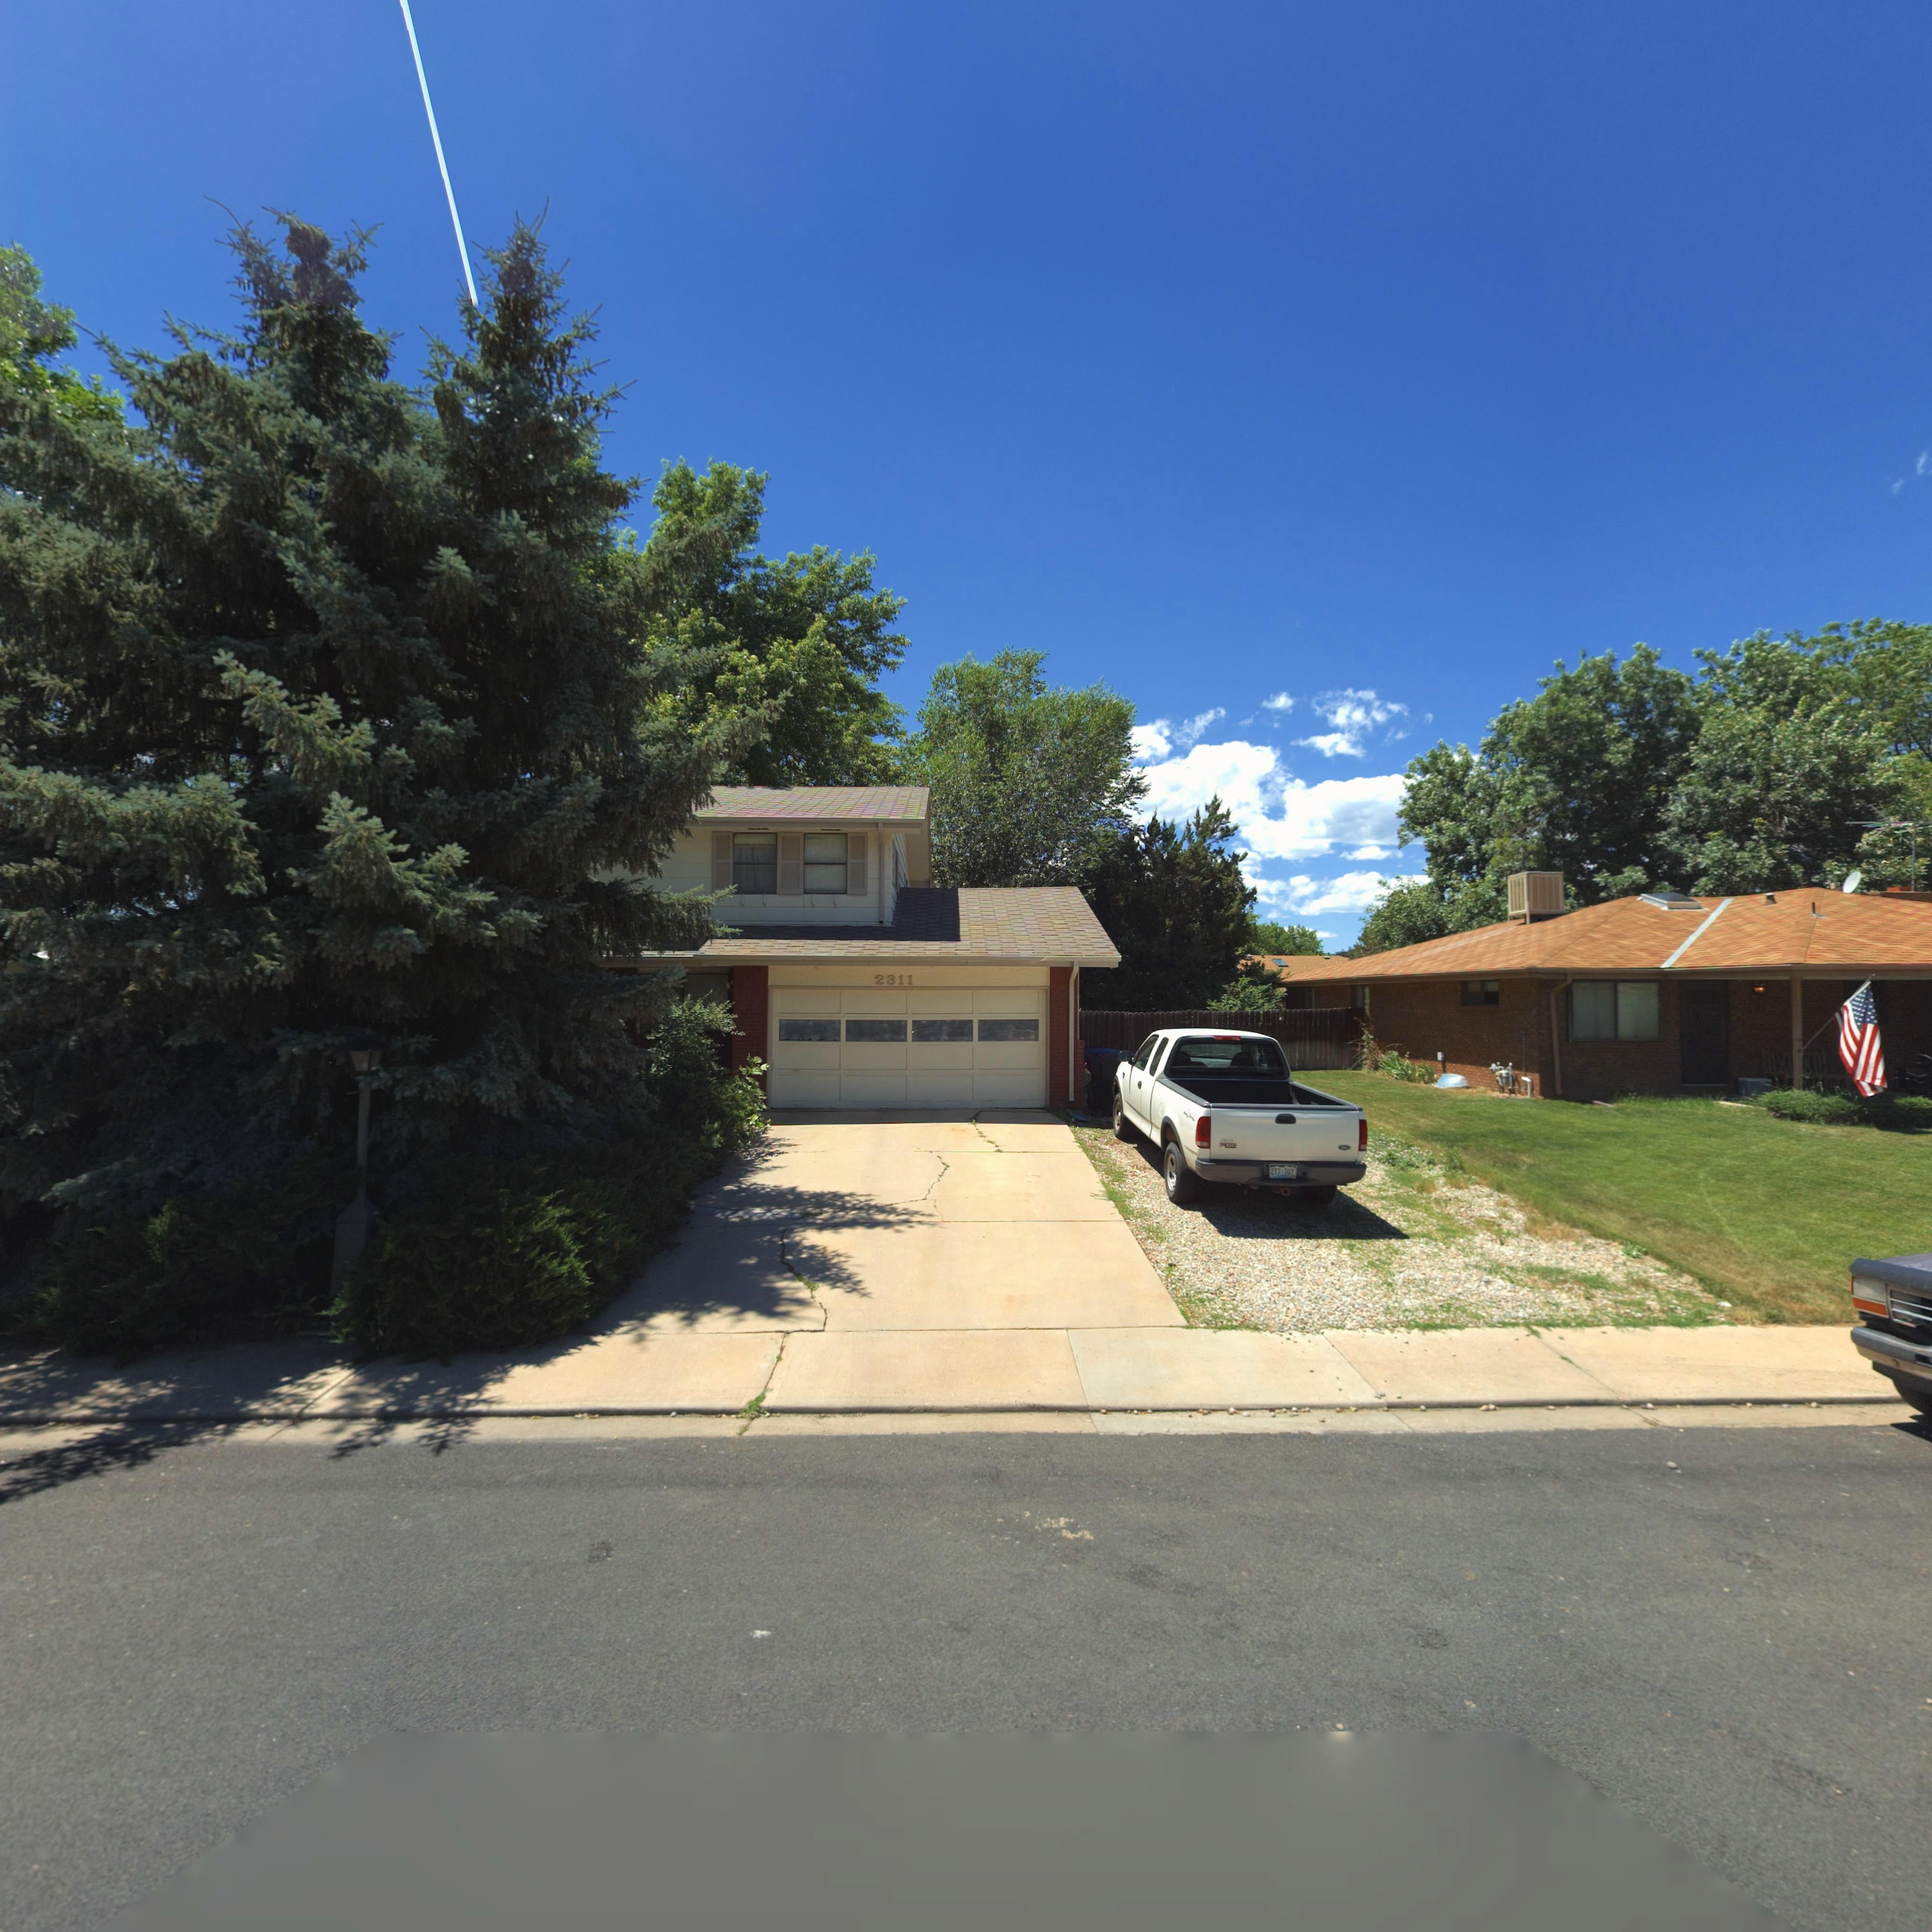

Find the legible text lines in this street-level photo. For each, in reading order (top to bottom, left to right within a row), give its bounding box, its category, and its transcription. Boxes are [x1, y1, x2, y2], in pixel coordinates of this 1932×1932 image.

[875, 975, 912, 985] StreetNumber: 2311